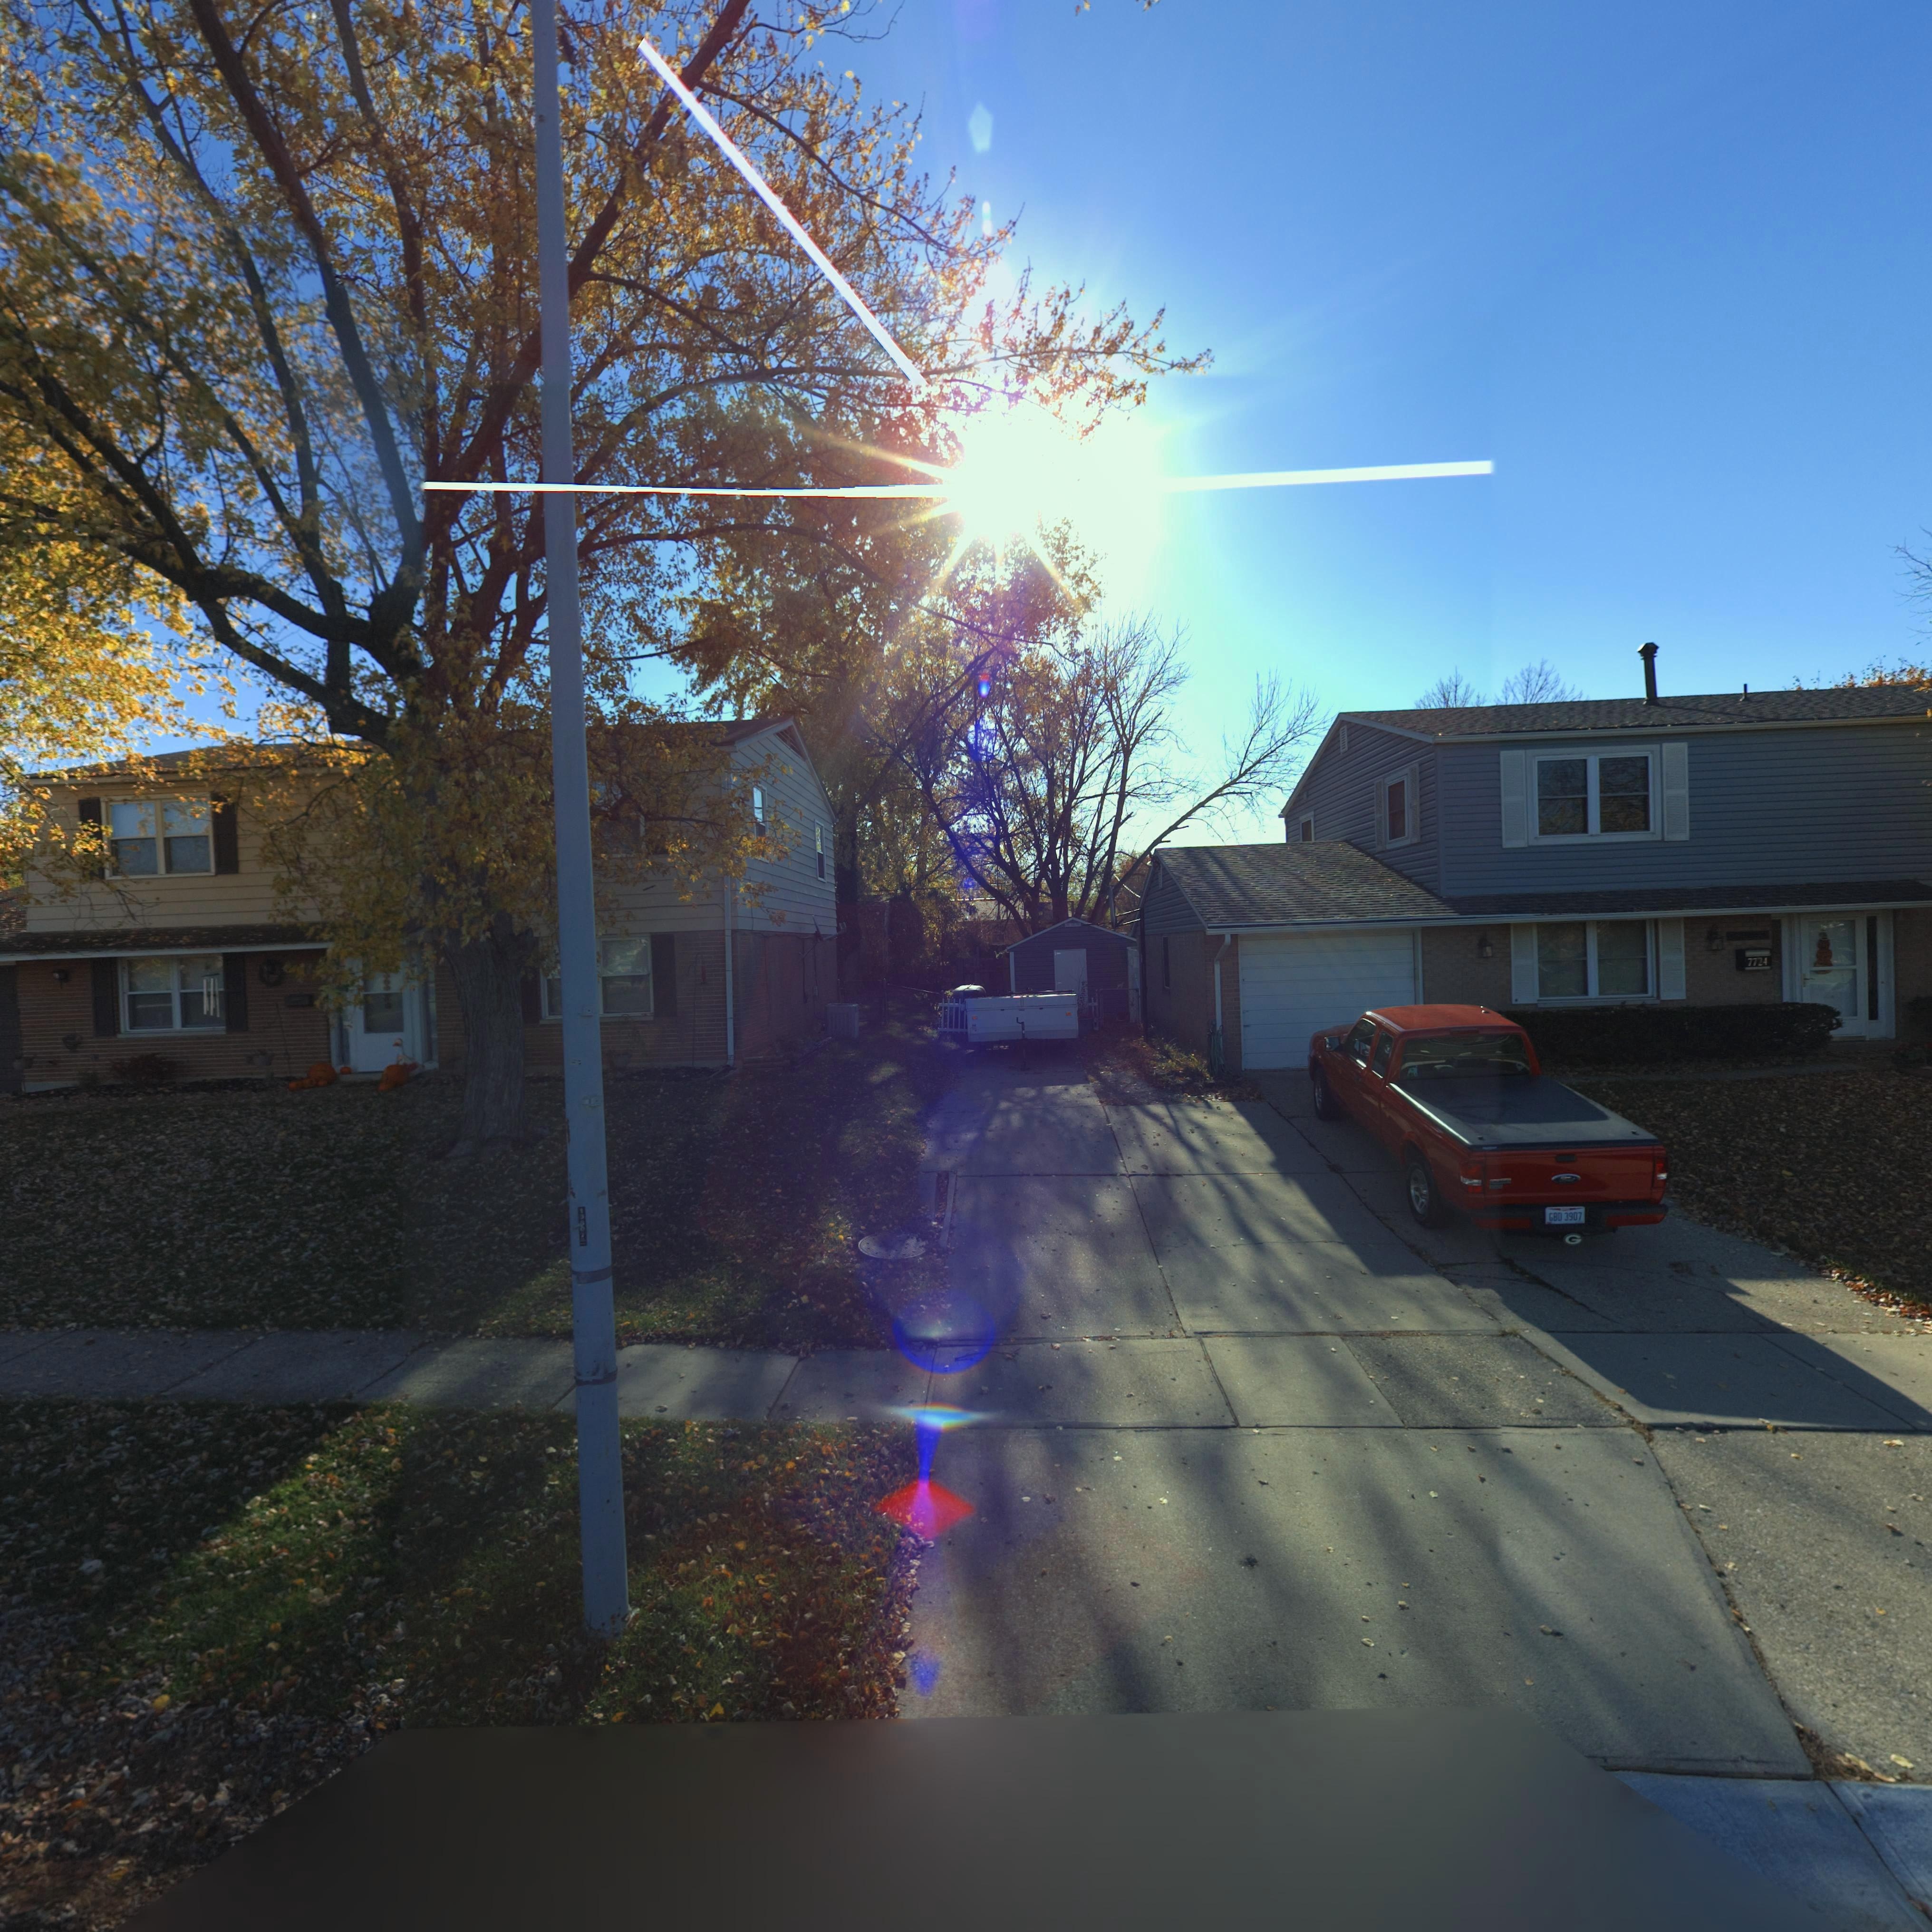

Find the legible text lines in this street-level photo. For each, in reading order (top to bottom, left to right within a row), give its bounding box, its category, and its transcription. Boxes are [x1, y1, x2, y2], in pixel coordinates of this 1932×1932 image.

[1746, 956, 1769, 967] StreetNumber: 7724